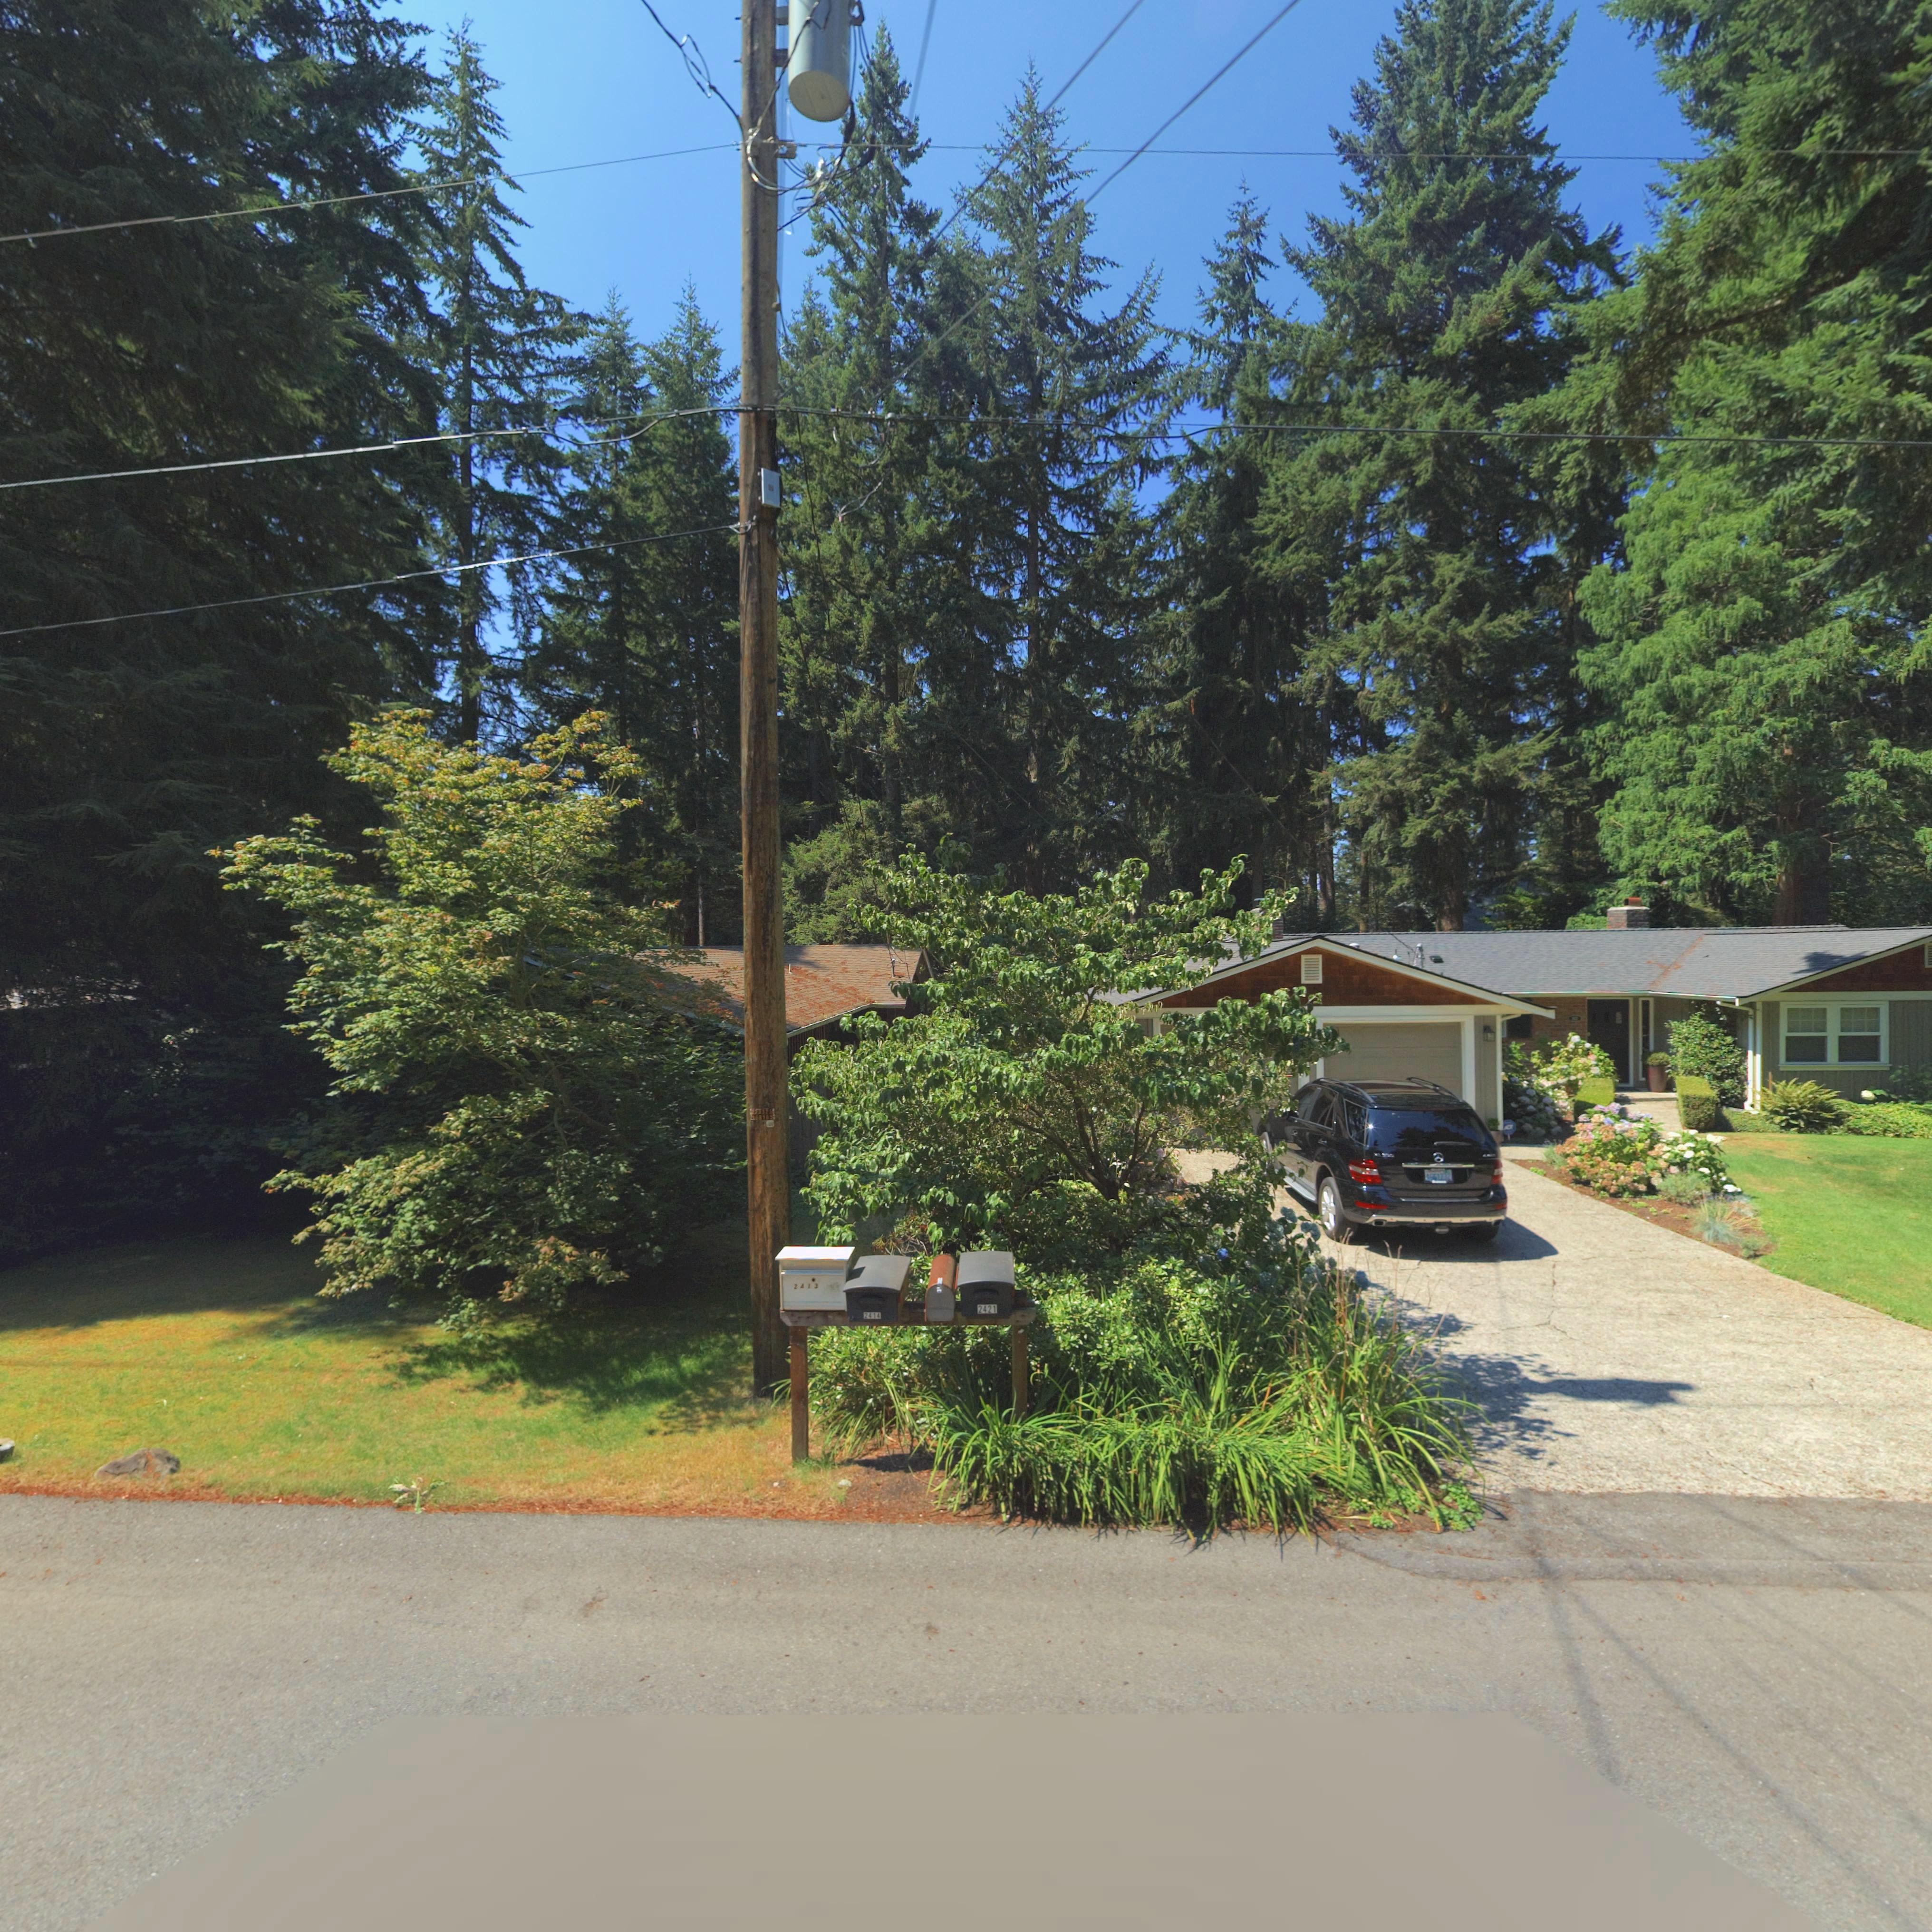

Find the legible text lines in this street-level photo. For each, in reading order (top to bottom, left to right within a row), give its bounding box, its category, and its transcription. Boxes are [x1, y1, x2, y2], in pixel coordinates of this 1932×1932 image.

[978, 1304, 996, 1314] StreetNumber: 2421
[864, 1312, 880, 1319] StreetNumber: 2413